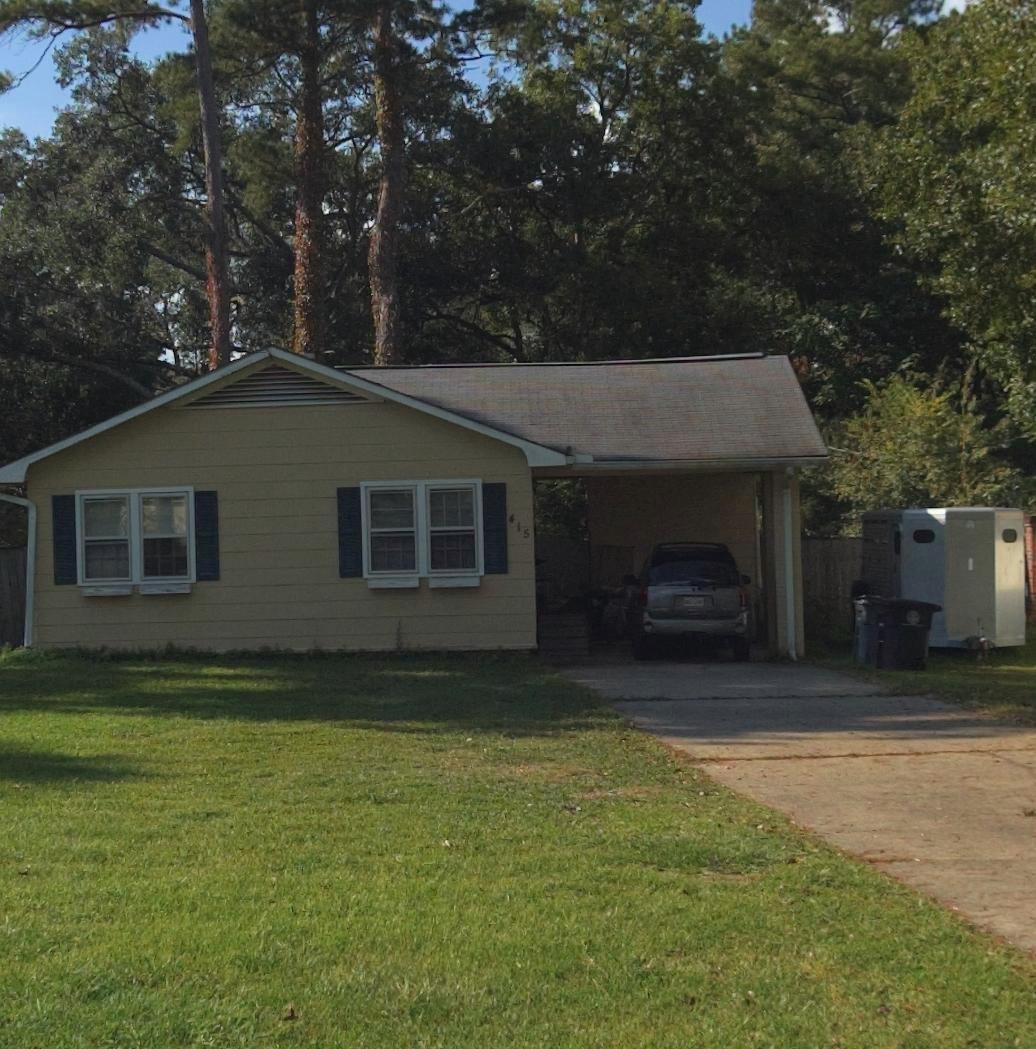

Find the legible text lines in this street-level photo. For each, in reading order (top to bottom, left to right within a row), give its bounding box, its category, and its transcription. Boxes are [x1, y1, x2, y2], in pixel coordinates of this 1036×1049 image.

[508, 513, 532, 543] StreetNumber: 415